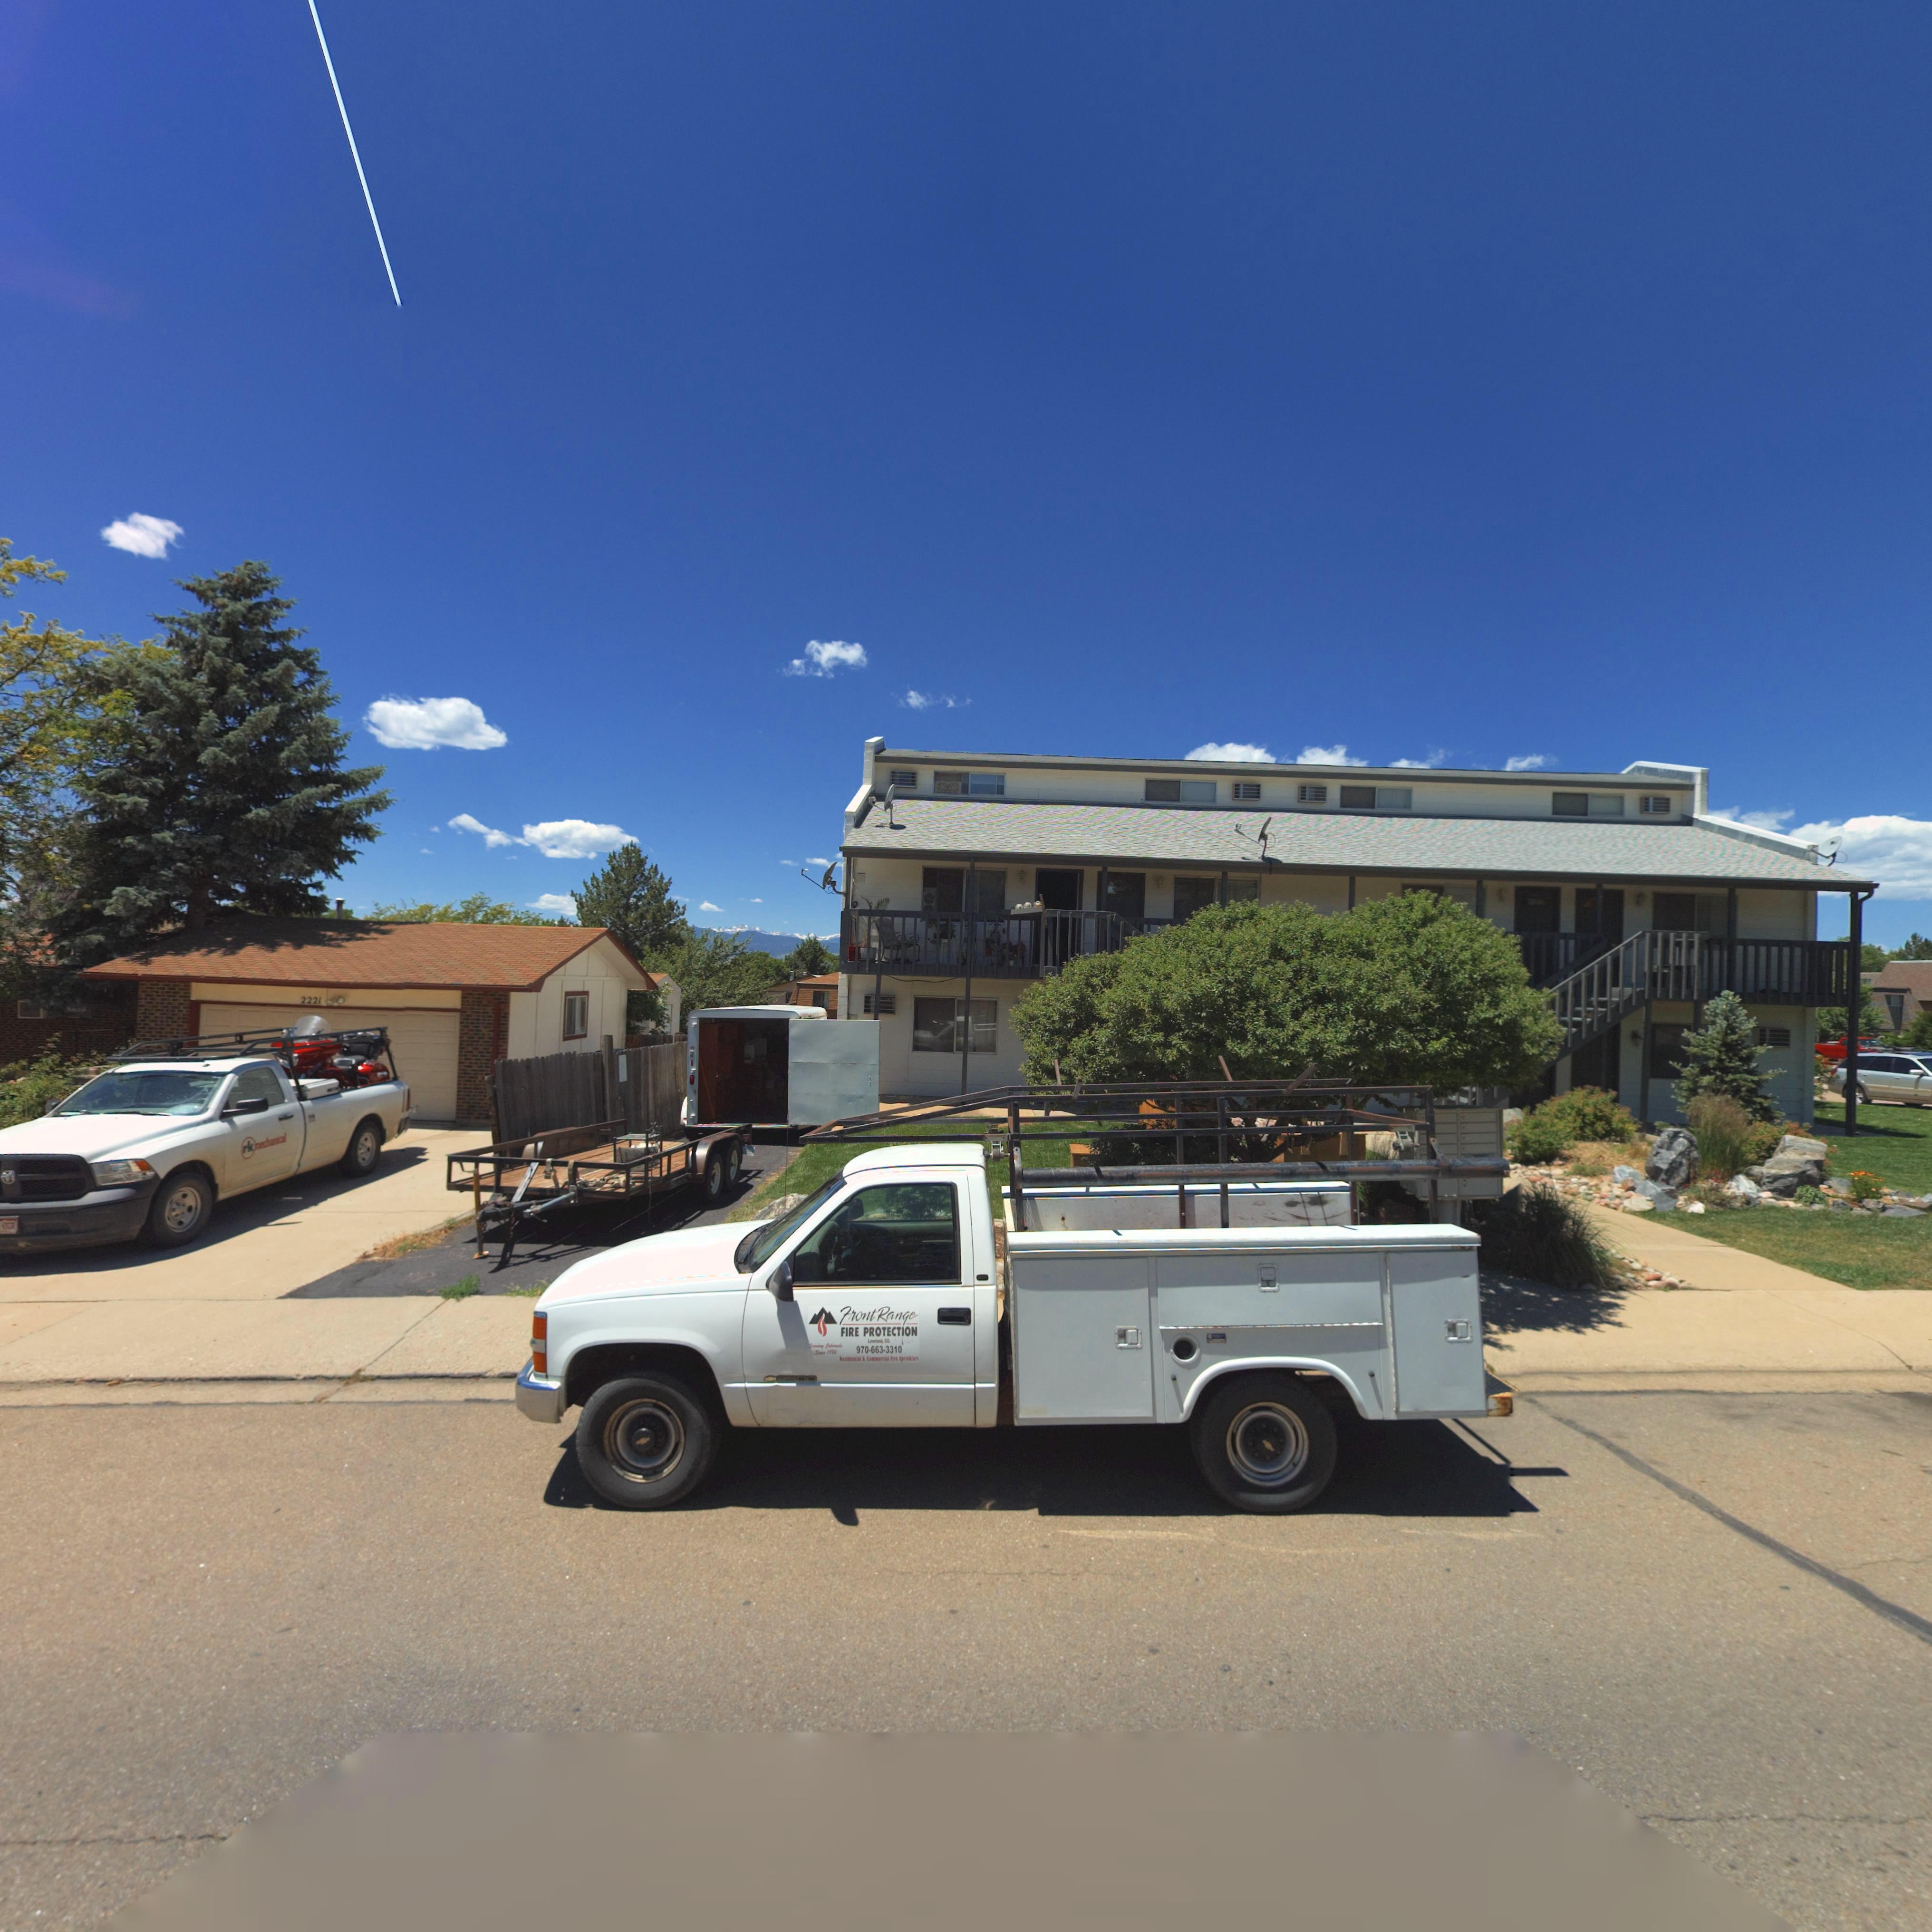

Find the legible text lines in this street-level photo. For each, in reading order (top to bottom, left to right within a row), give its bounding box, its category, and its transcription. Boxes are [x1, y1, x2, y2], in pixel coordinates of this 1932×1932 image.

[300, 996, 321, 1005] StreetNumber: 2221